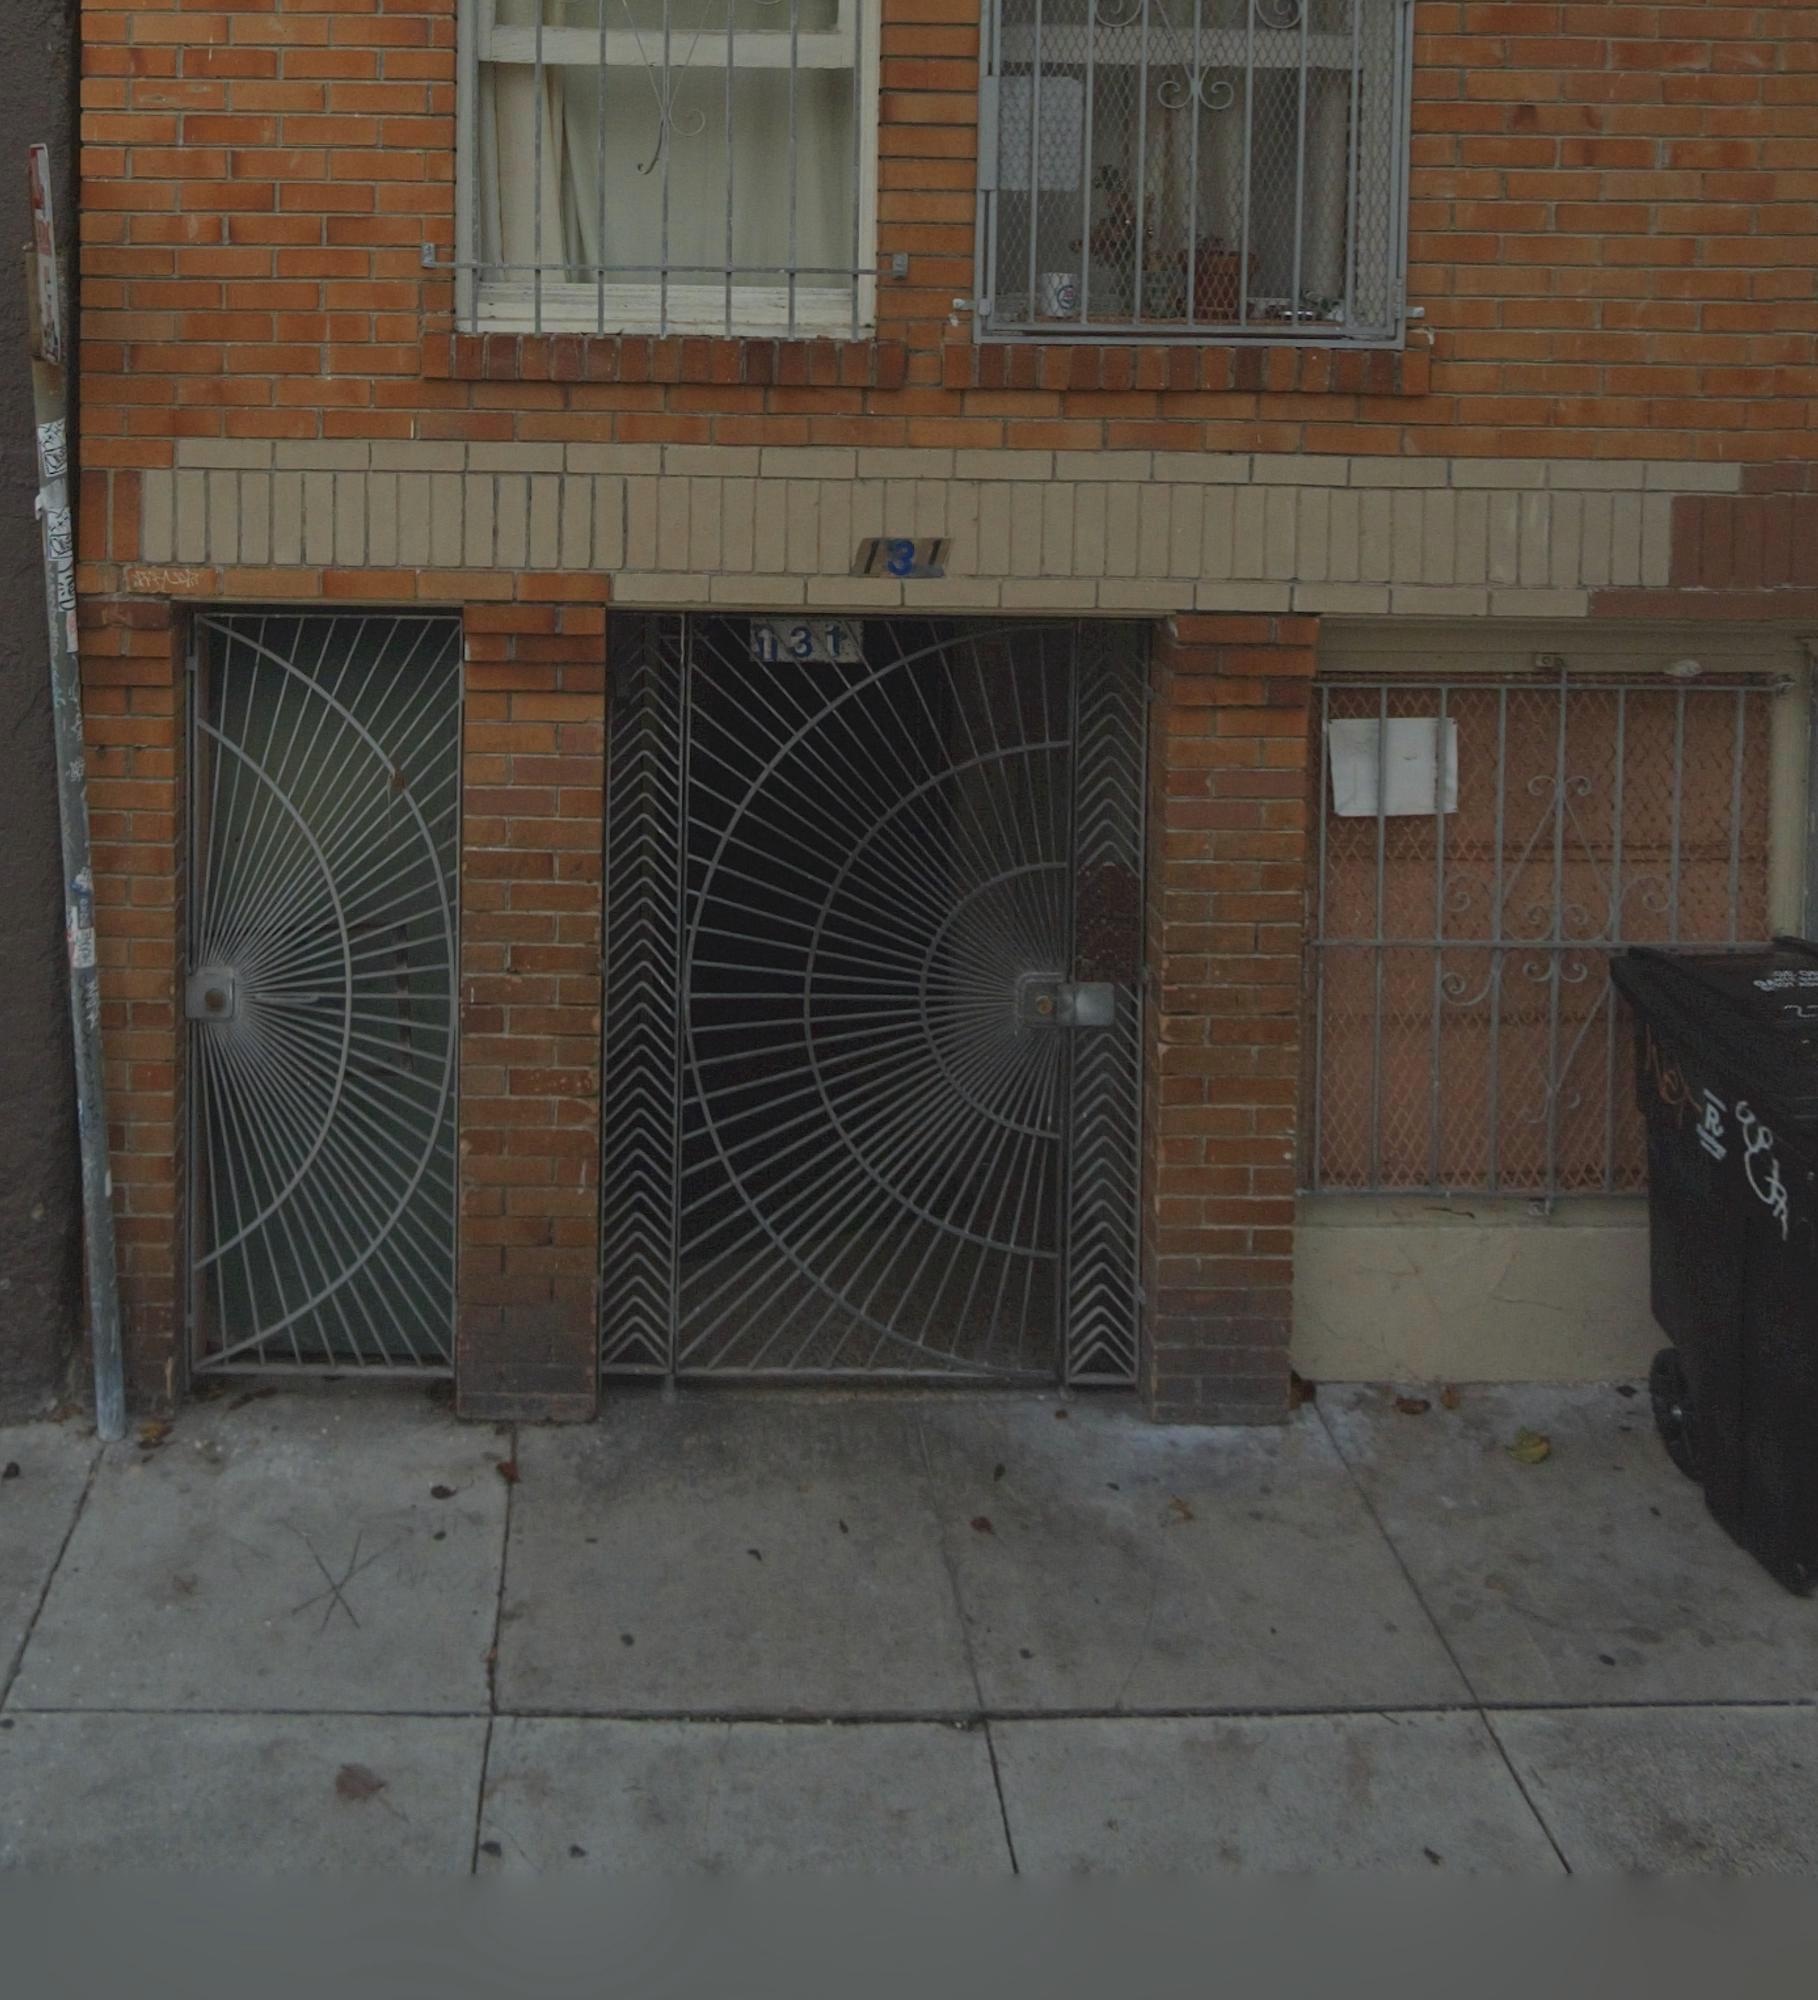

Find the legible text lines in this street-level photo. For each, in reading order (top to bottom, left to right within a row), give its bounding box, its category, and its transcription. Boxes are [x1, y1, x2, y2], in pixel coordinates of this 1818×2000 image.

[859, 536, 948, 579] StreetNumber: 131
[755, 622, 842, 662] StreetNumber: 131